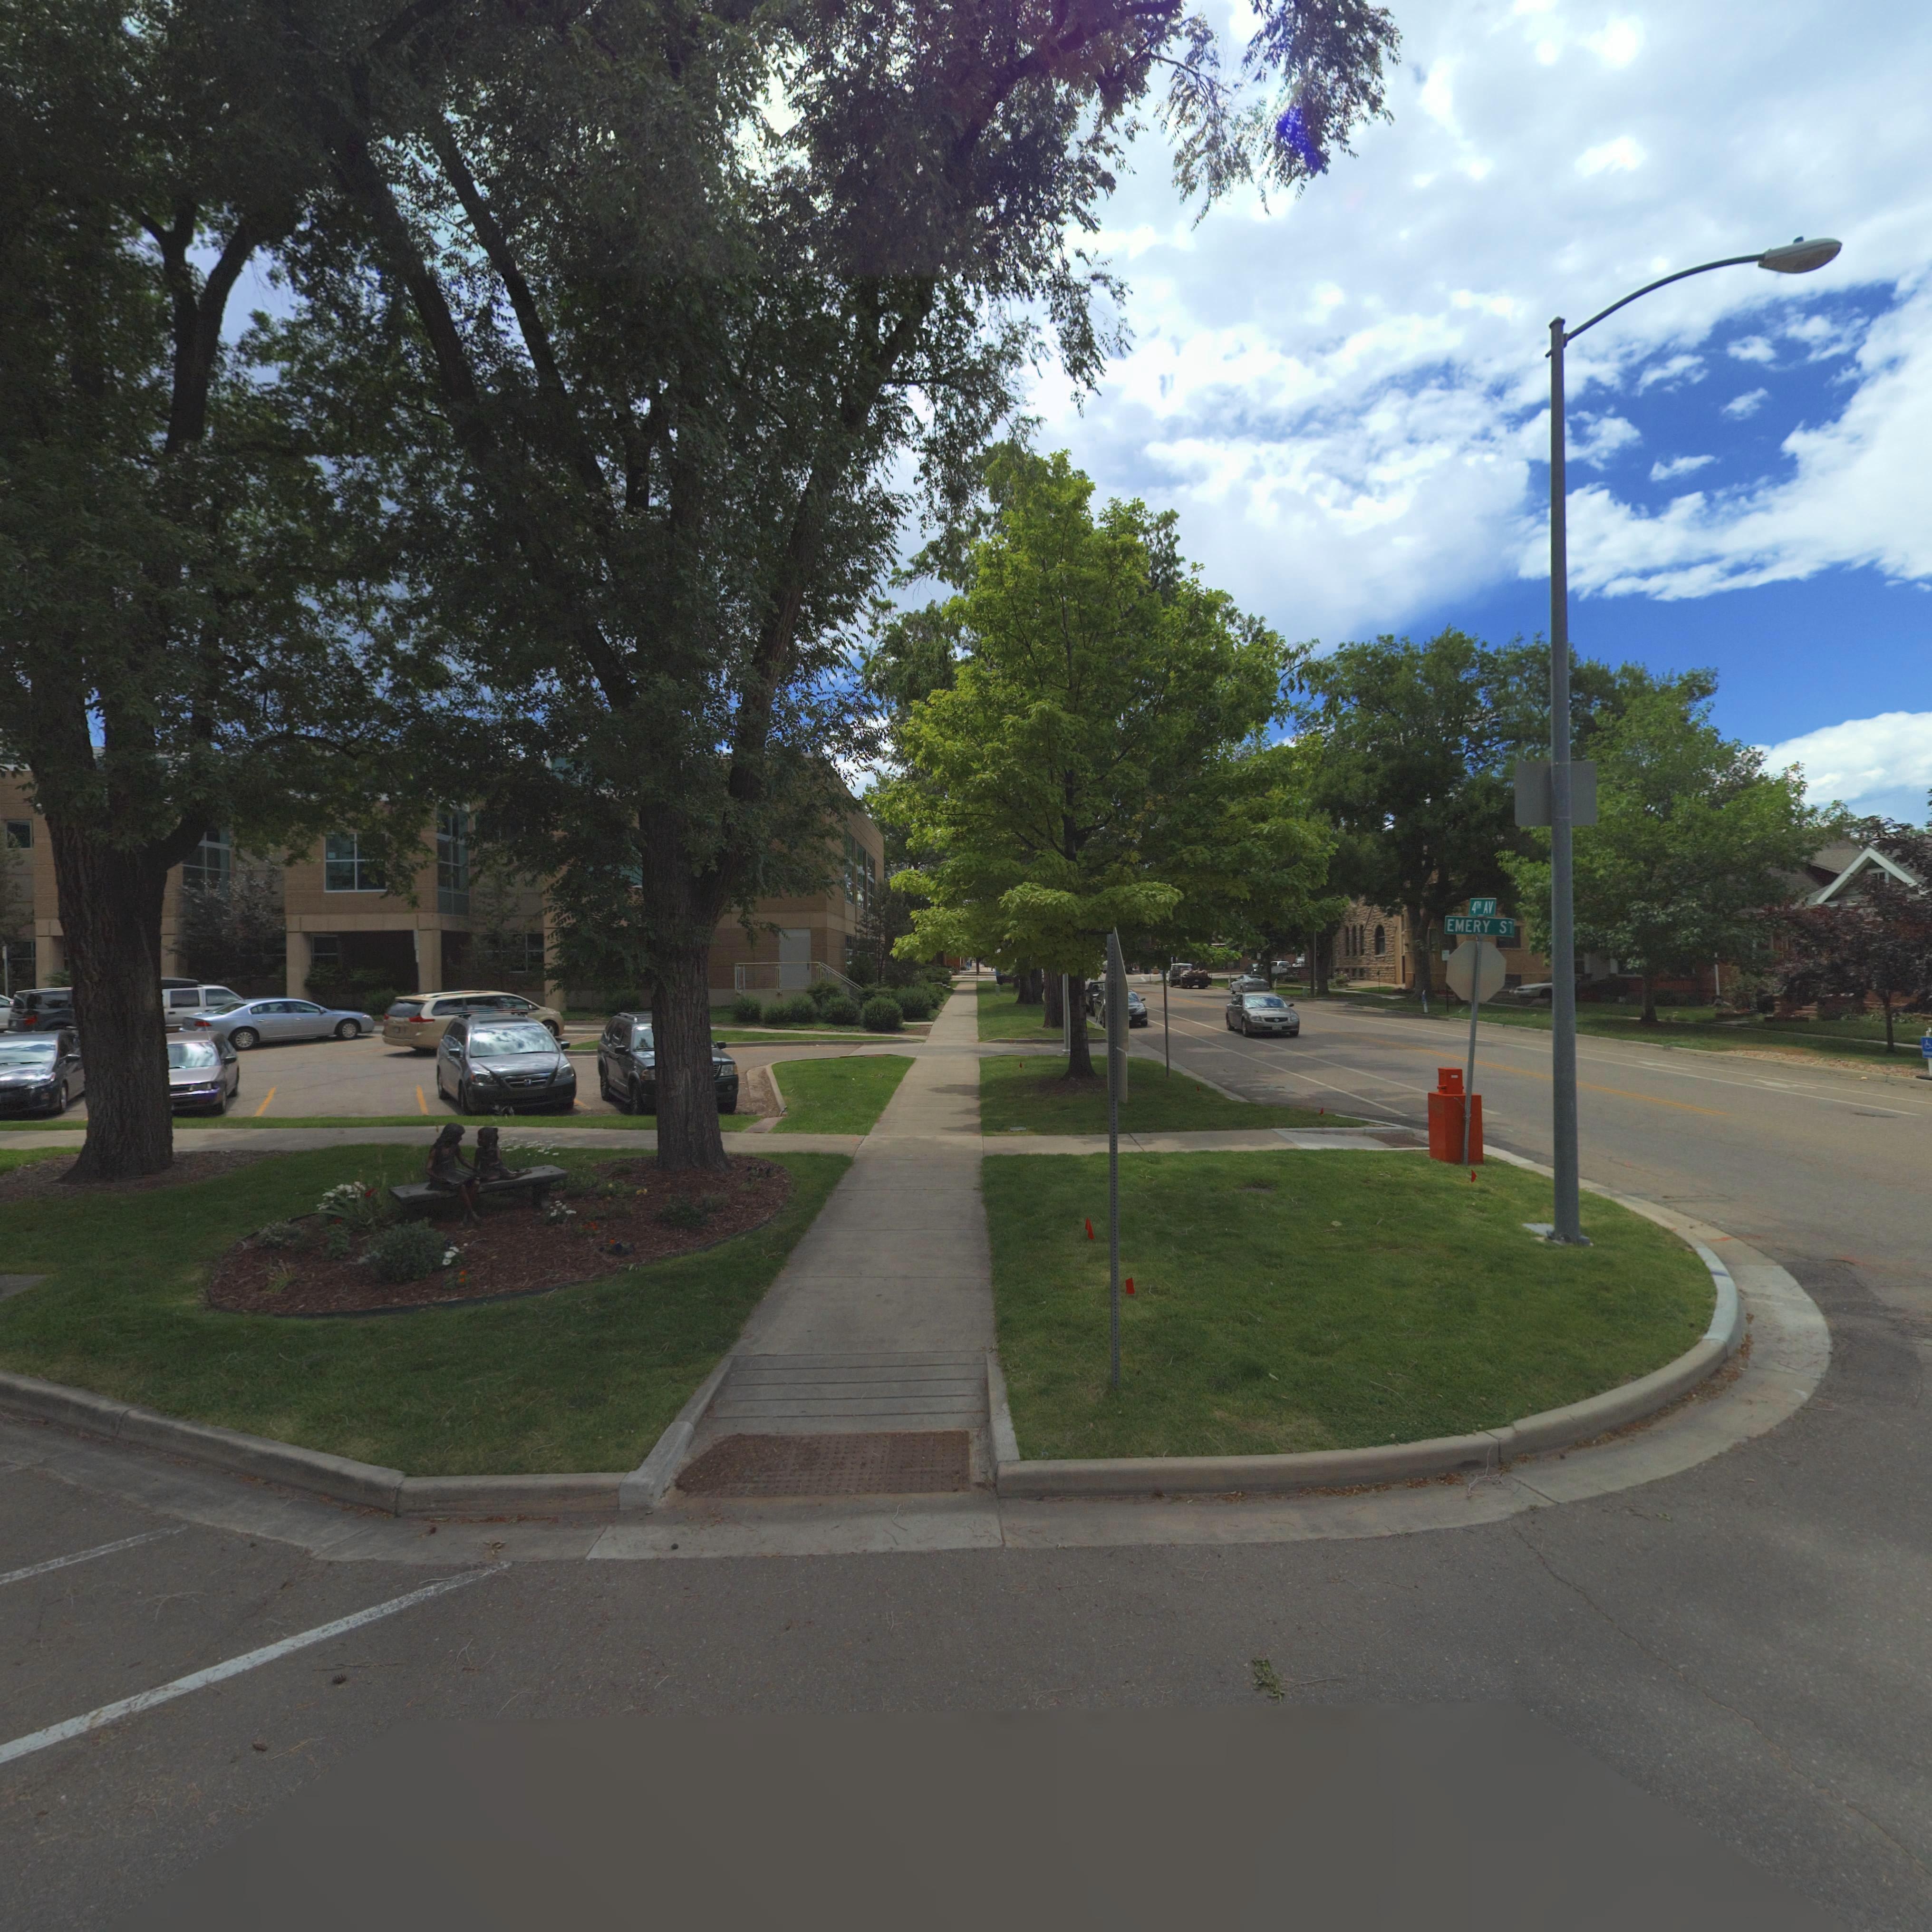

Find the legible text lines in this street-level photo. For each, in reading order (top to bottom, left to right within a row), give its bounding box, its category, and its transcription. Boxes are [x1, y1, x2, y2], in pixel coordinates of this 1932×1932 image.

[1470, 900, 1494, 914] StreetName: 4TH AV
[1446, 918, 1513, 935] StreetName: EMERY ST